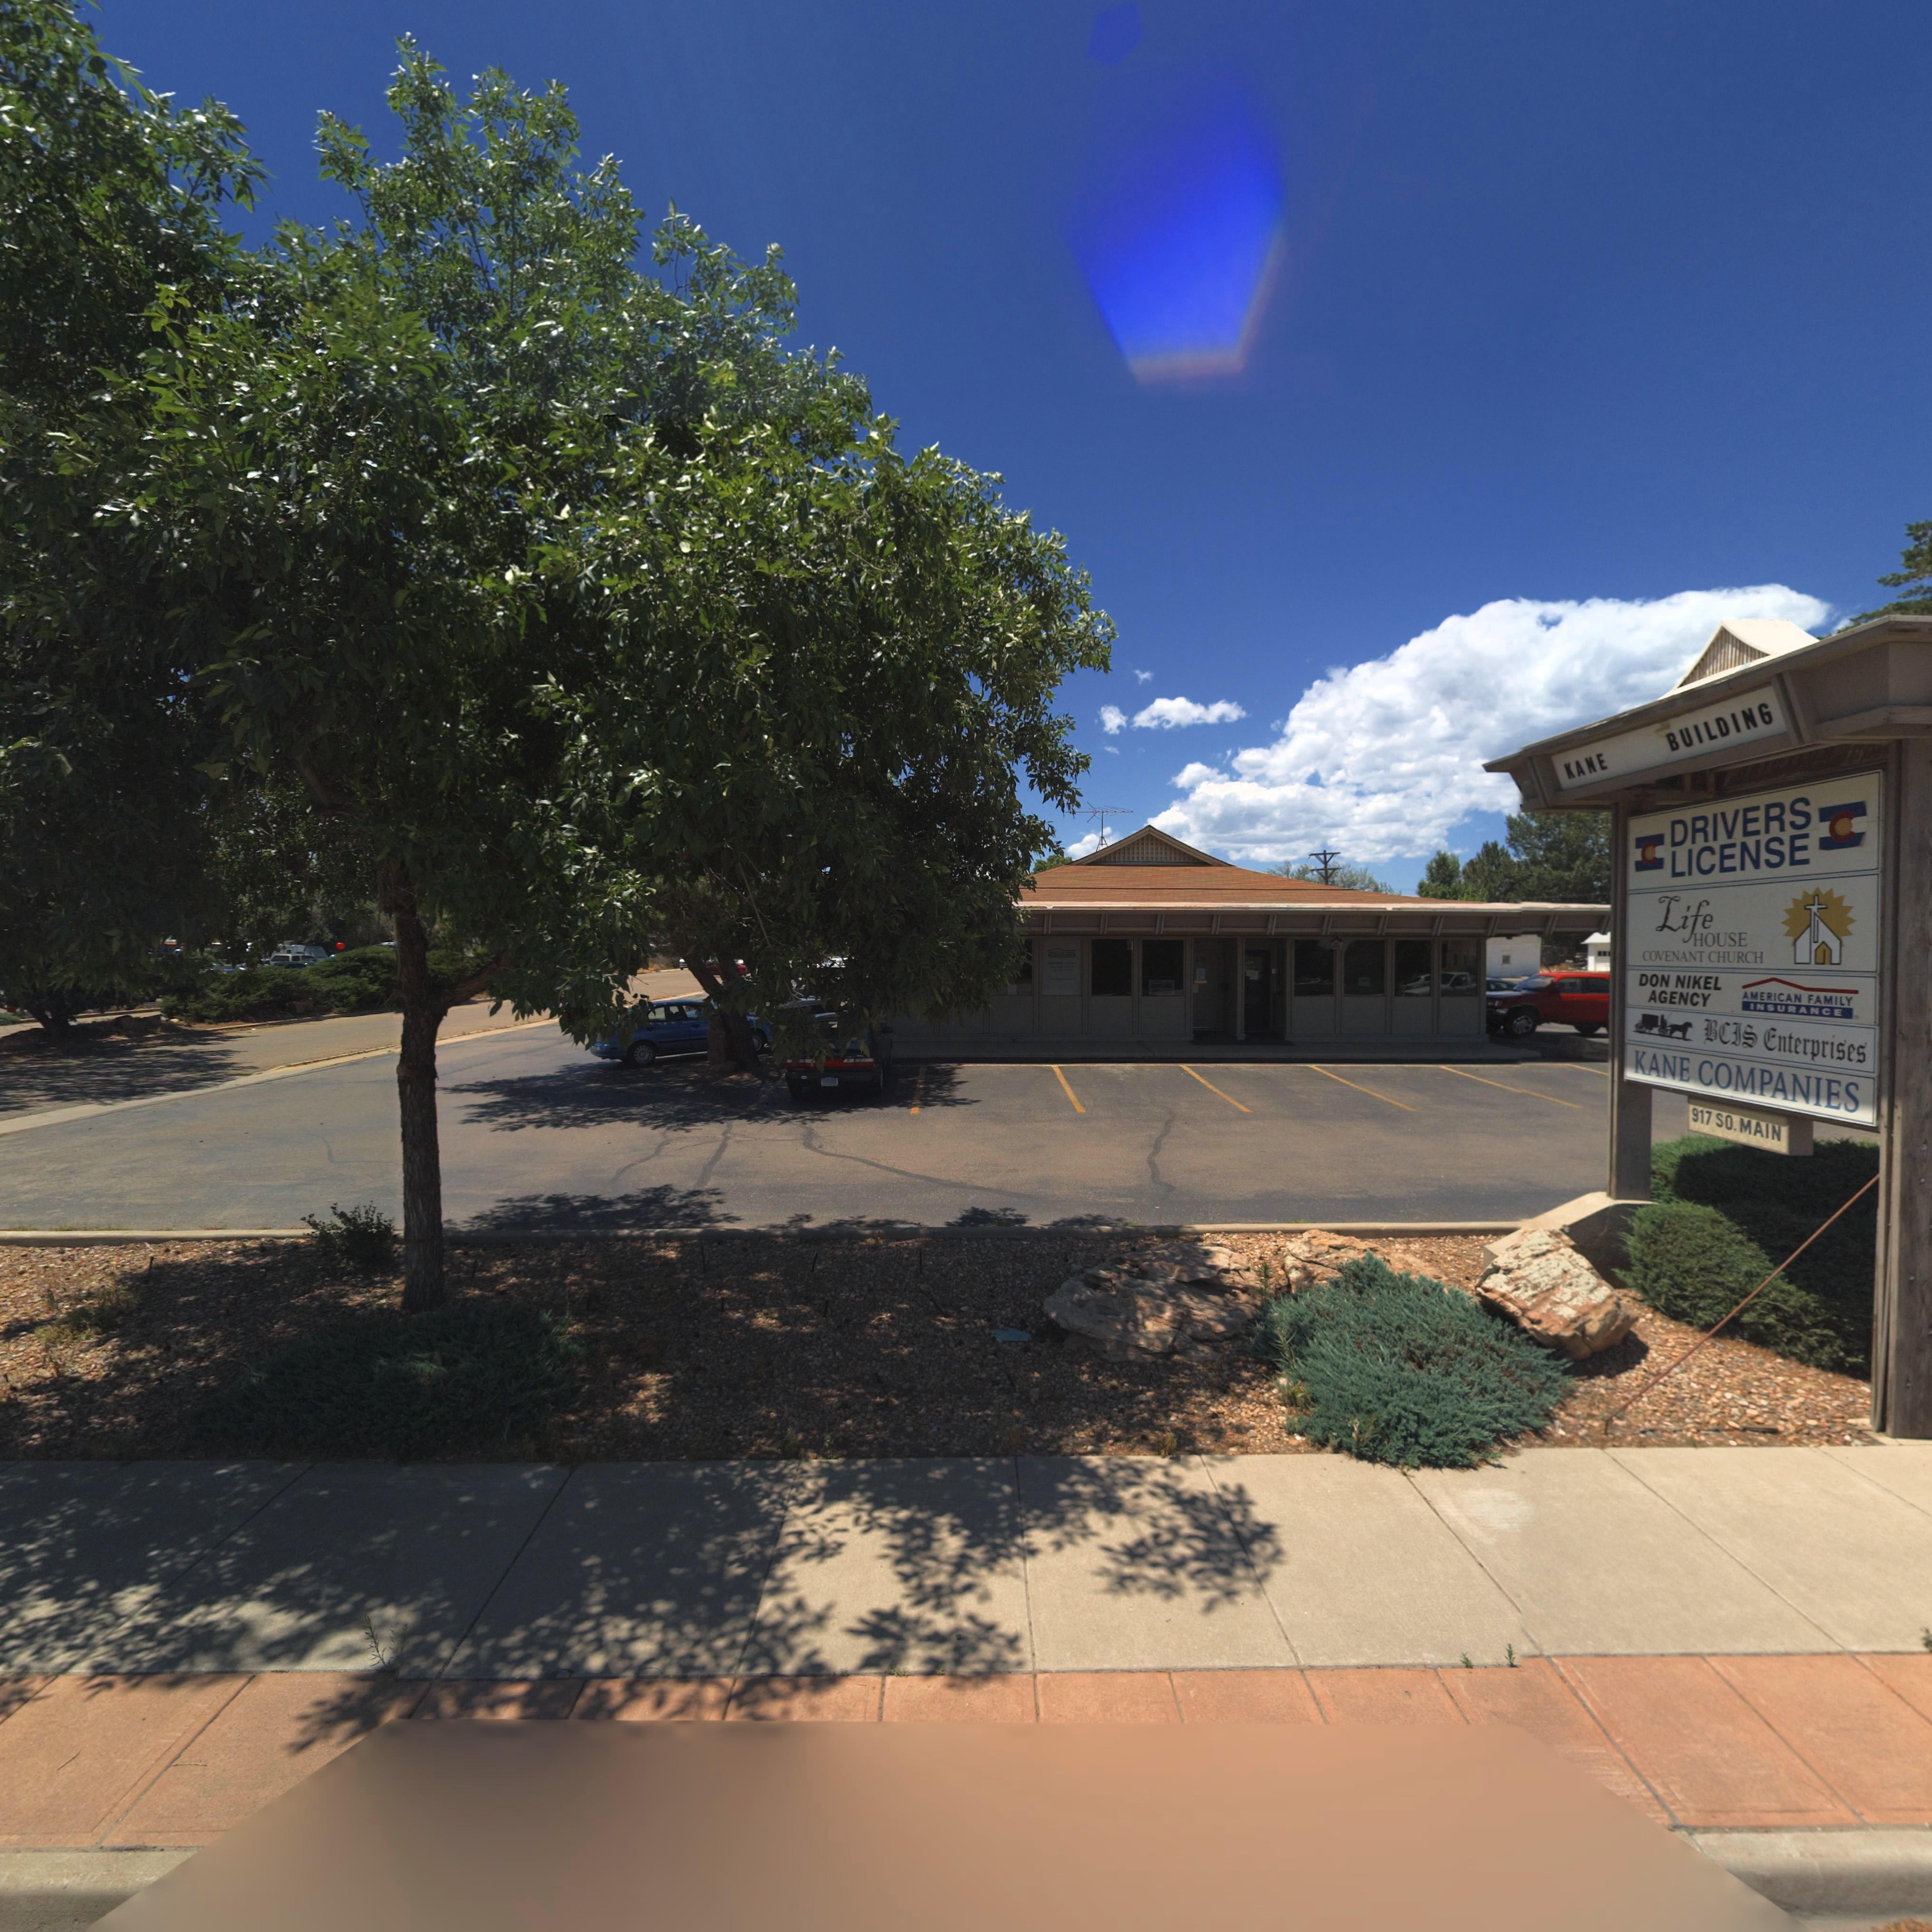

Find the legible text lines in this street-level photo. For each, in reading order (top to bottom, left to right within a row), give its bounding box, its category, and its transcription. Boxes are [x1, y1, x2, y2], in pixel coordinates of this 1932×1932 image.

[1669, 795, 1812, 848] BusinessName: DRIVERS
[1670, 831, 1812, 879] BusinessName: LICENSE
[1657, 897, 1715, 932] BusinessName: Life
[1693, 931, 1749, 947] BusinessName: HOUSE
[1641, 949, 1764, 965] BusinessName: COVENANT CHURCH
[1749, 1003, 1842, 1016] BusinessName: INSURANCE
[1741, 991, 1854, 1007] BusinessName: AMERICAN FAMILY
[1703, 1018, 1867, 1064] BusinessName: BCIS Enterprises
[1633, 1049, 1861, 1115] BusinessName: KANE COMPANIES
[1690, 1106, 1713, 1126] StreetNumber: 917
[1714, 1111, 1783, 1143] StreetName: SO. MAIN